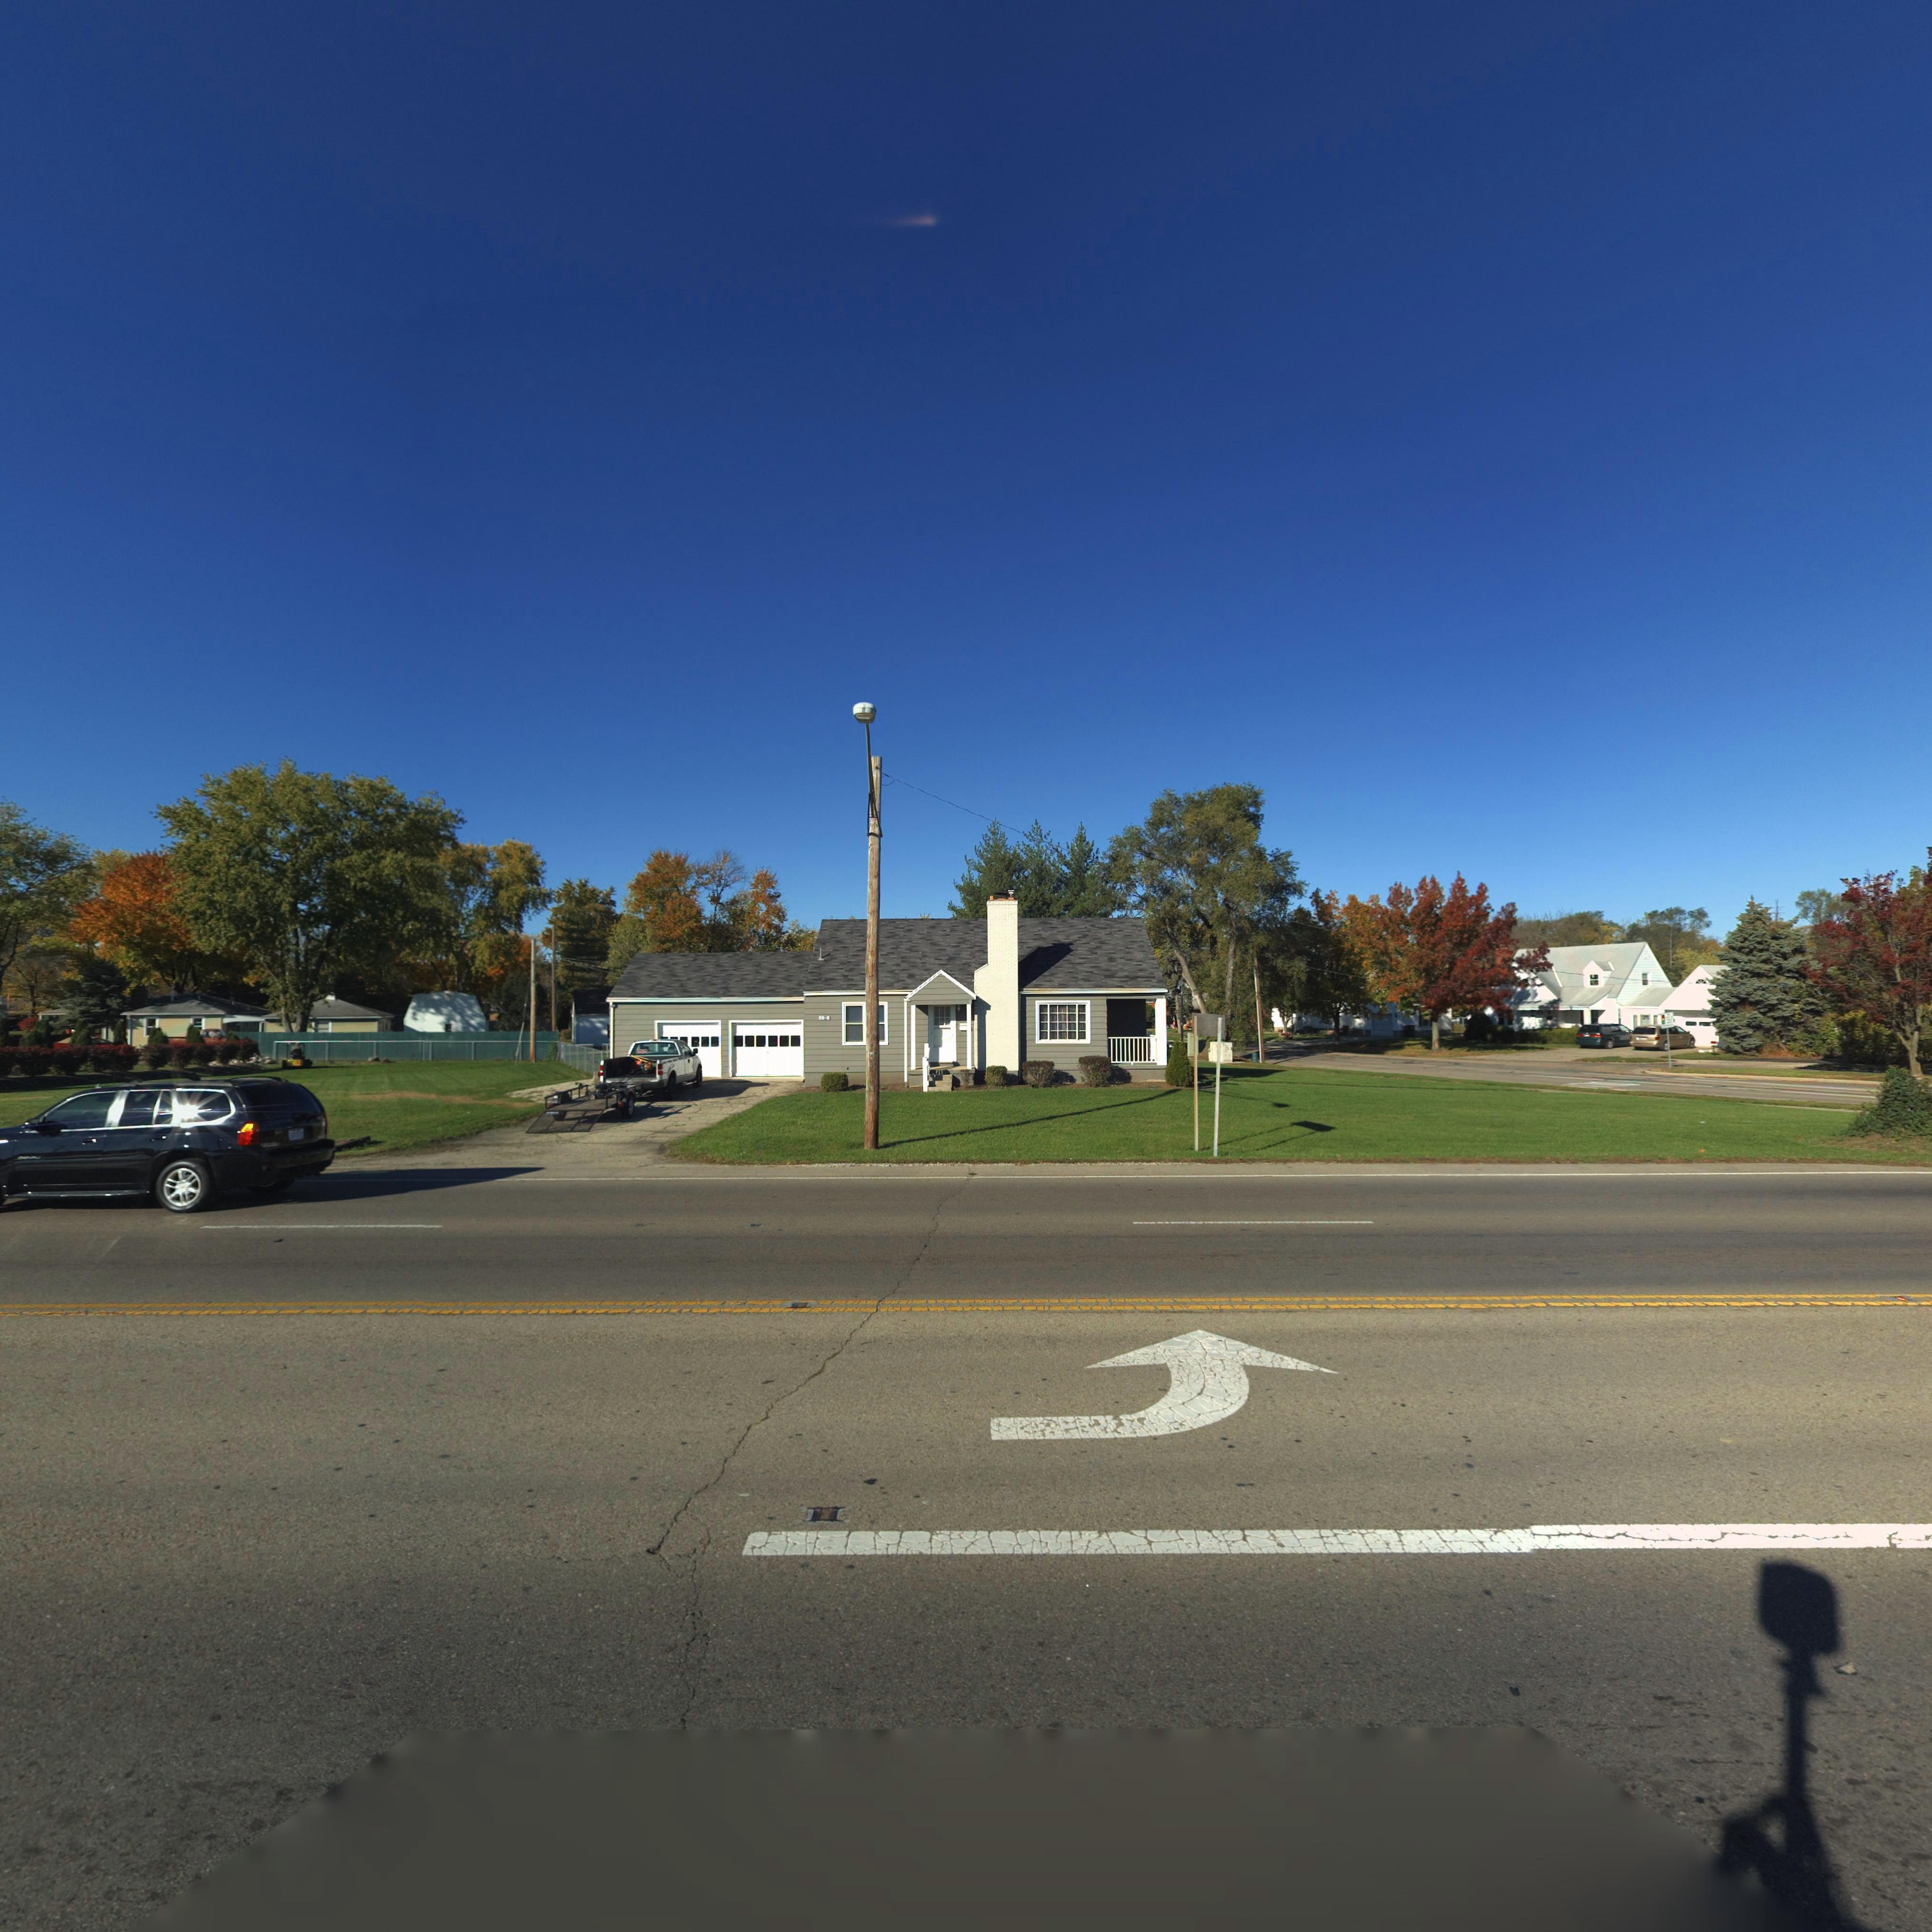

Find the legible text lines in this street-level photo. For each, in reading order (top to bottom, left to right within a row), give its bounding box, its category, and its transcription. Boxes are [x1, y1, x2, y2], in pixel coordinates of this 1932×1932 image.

[820, 1015, 827, 1020] StreetNumber: 1*